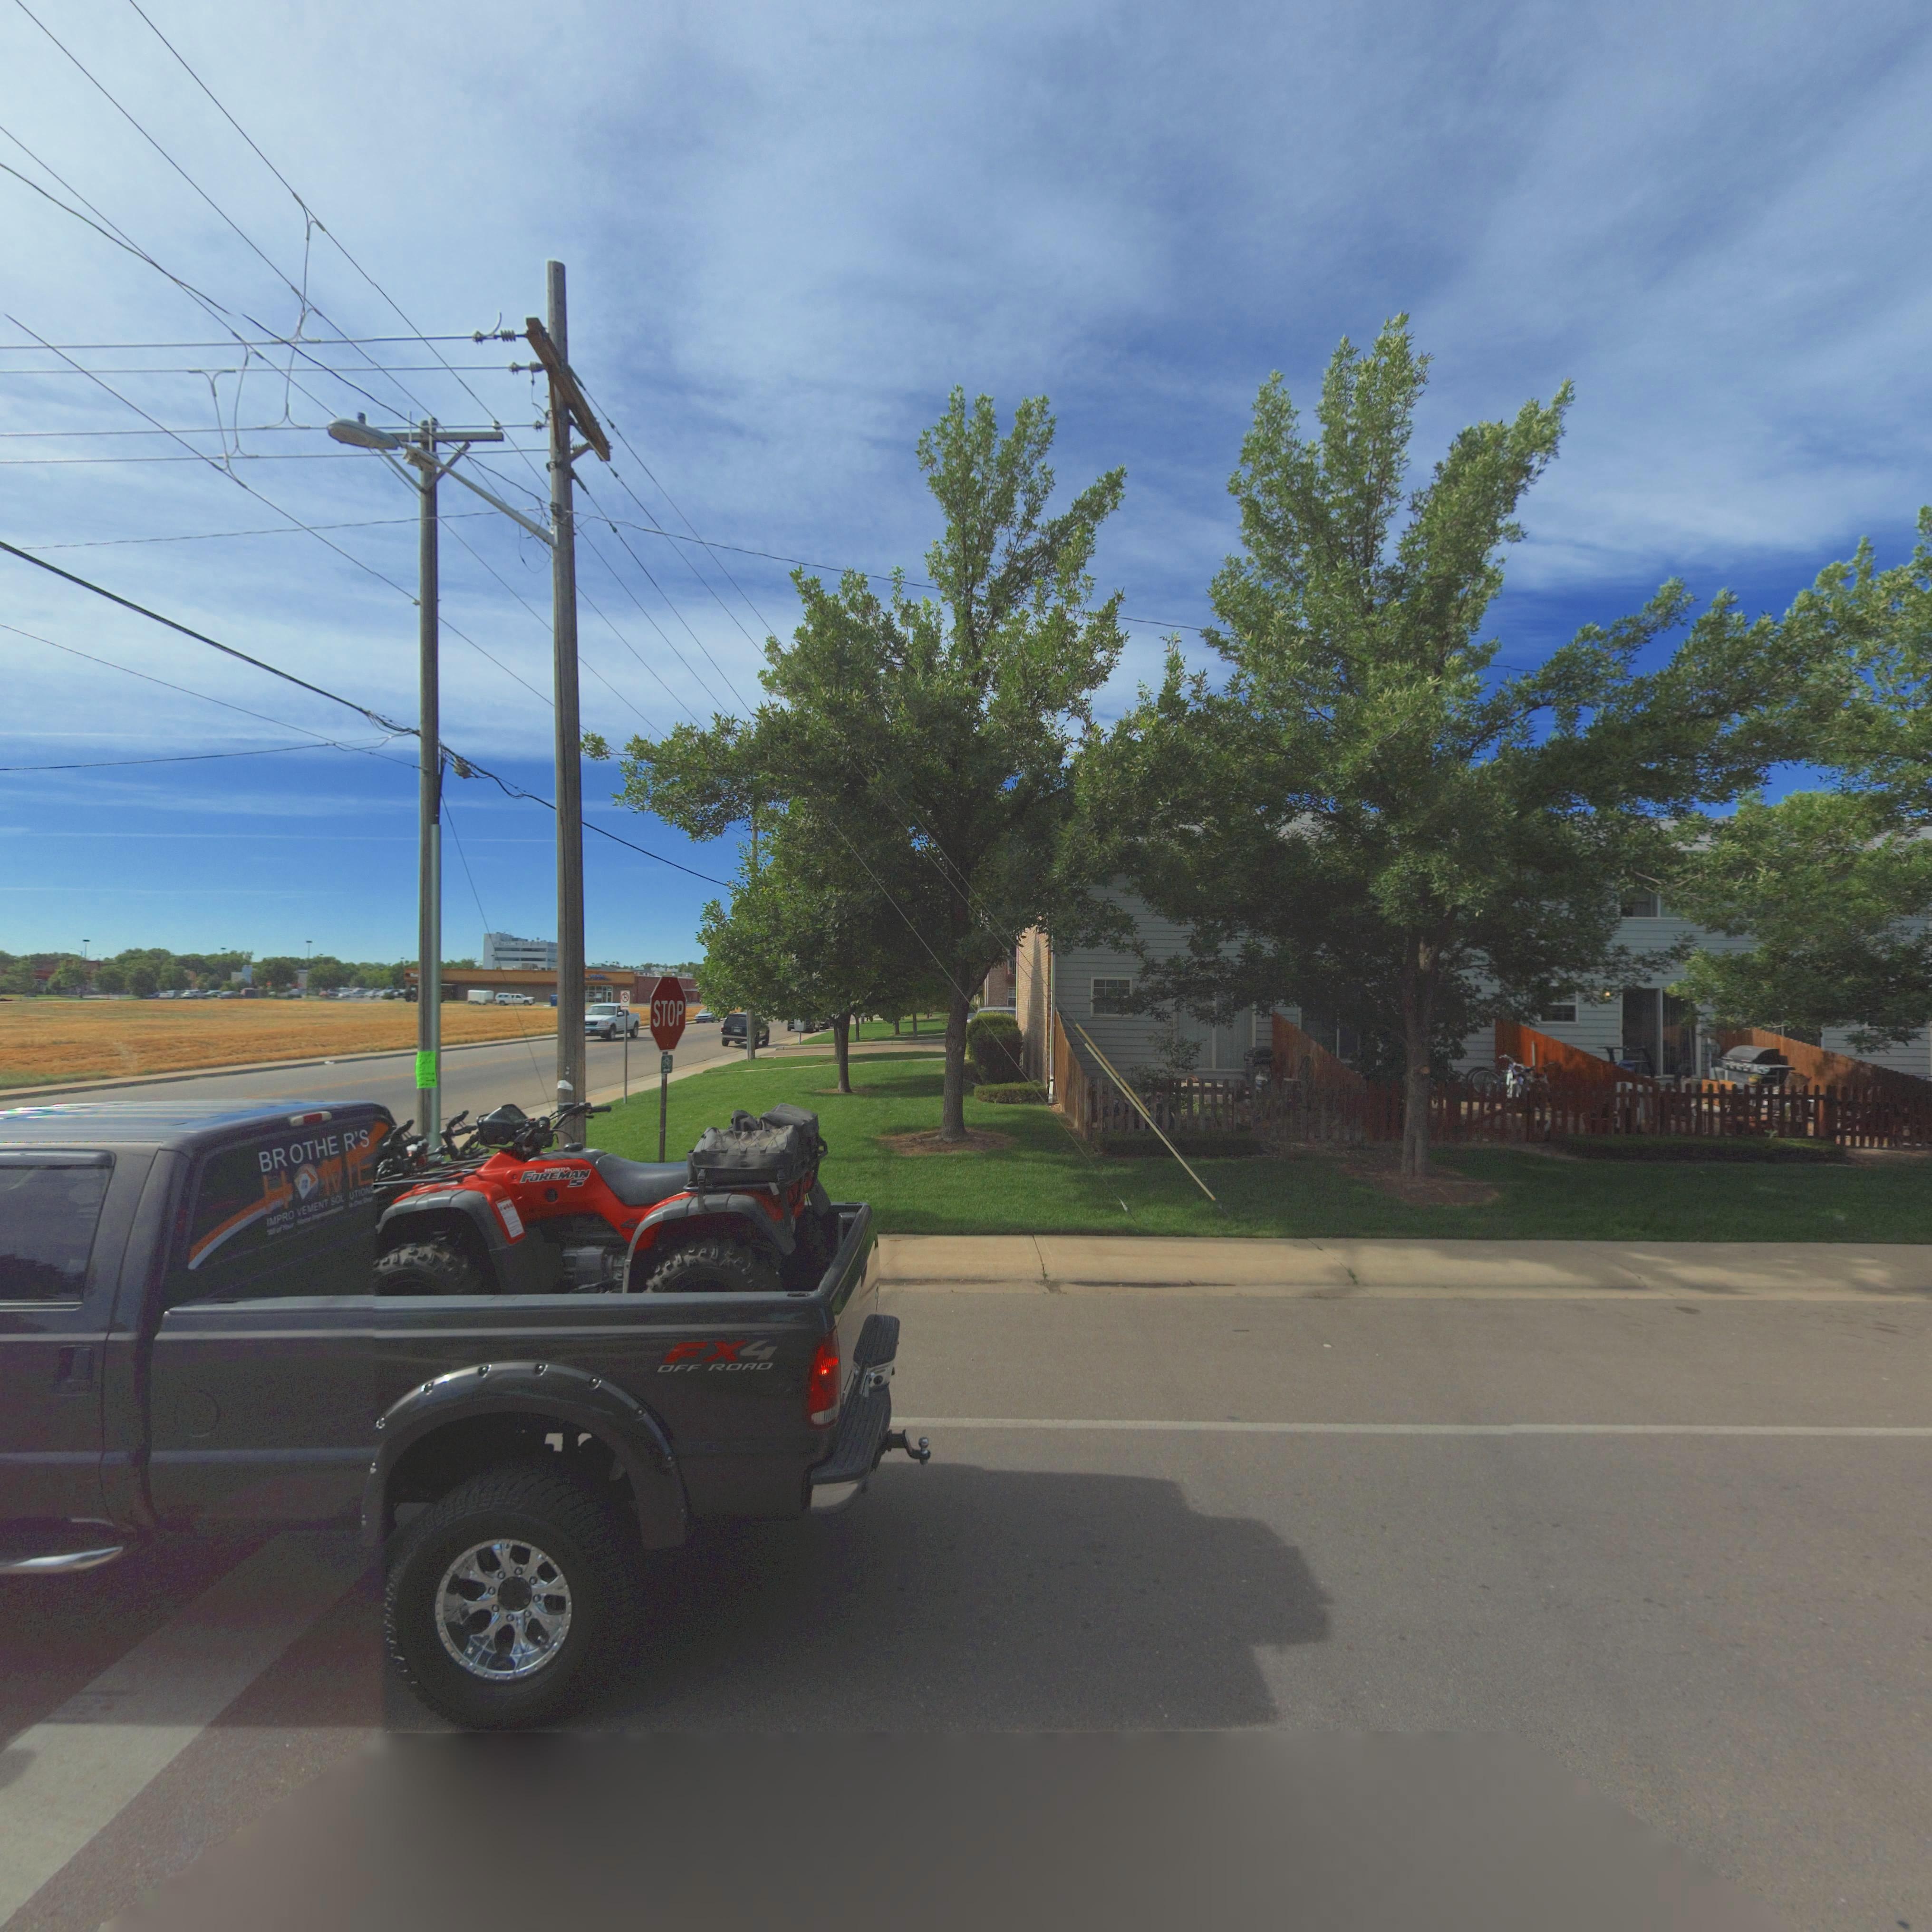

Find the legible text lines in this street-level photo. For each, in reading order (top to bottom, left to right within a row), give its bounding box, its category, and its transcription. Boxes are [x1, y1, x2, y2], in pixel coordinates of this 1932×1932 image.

[409, 971, 419, 977] BusinessName: Ra*